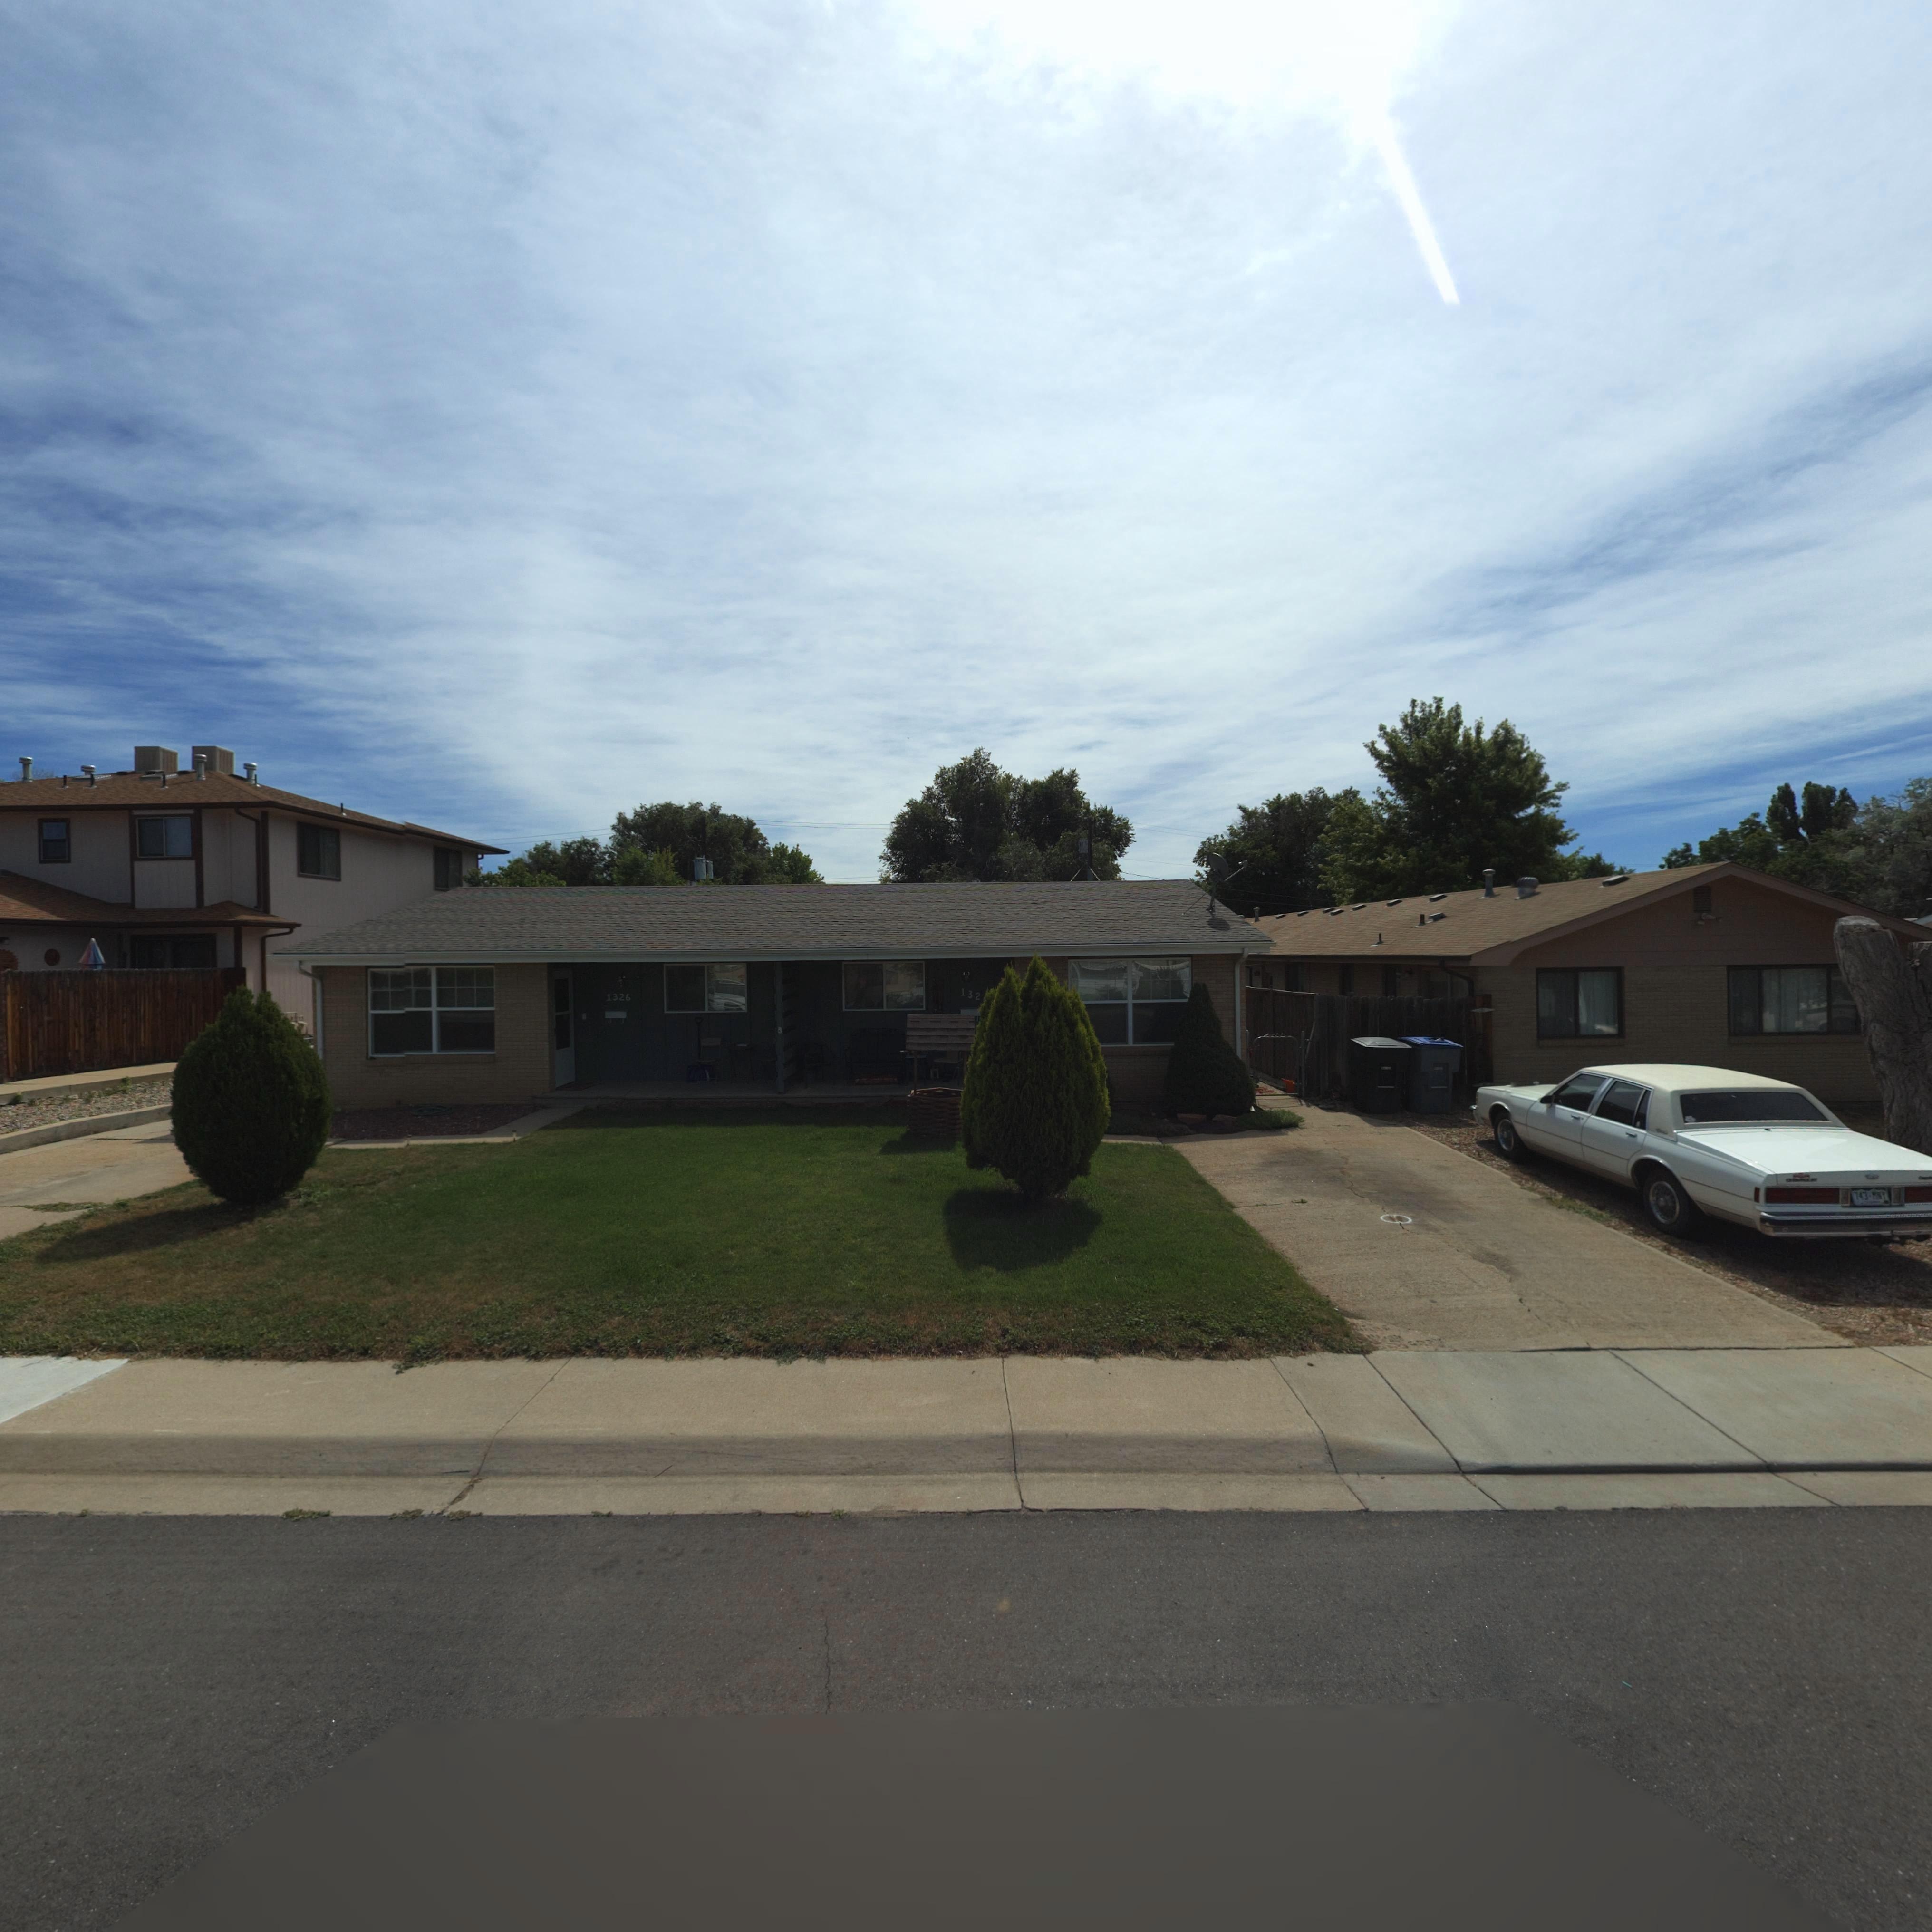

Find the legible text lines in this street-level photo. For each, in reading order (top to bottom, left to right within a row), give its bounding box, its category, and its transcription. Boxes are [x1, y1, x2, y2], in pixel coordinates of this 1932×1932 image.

[606, 993, 631, 1001] StreetNumber: 1326
[960, 986, 980, 1001] StreetNumber: 132